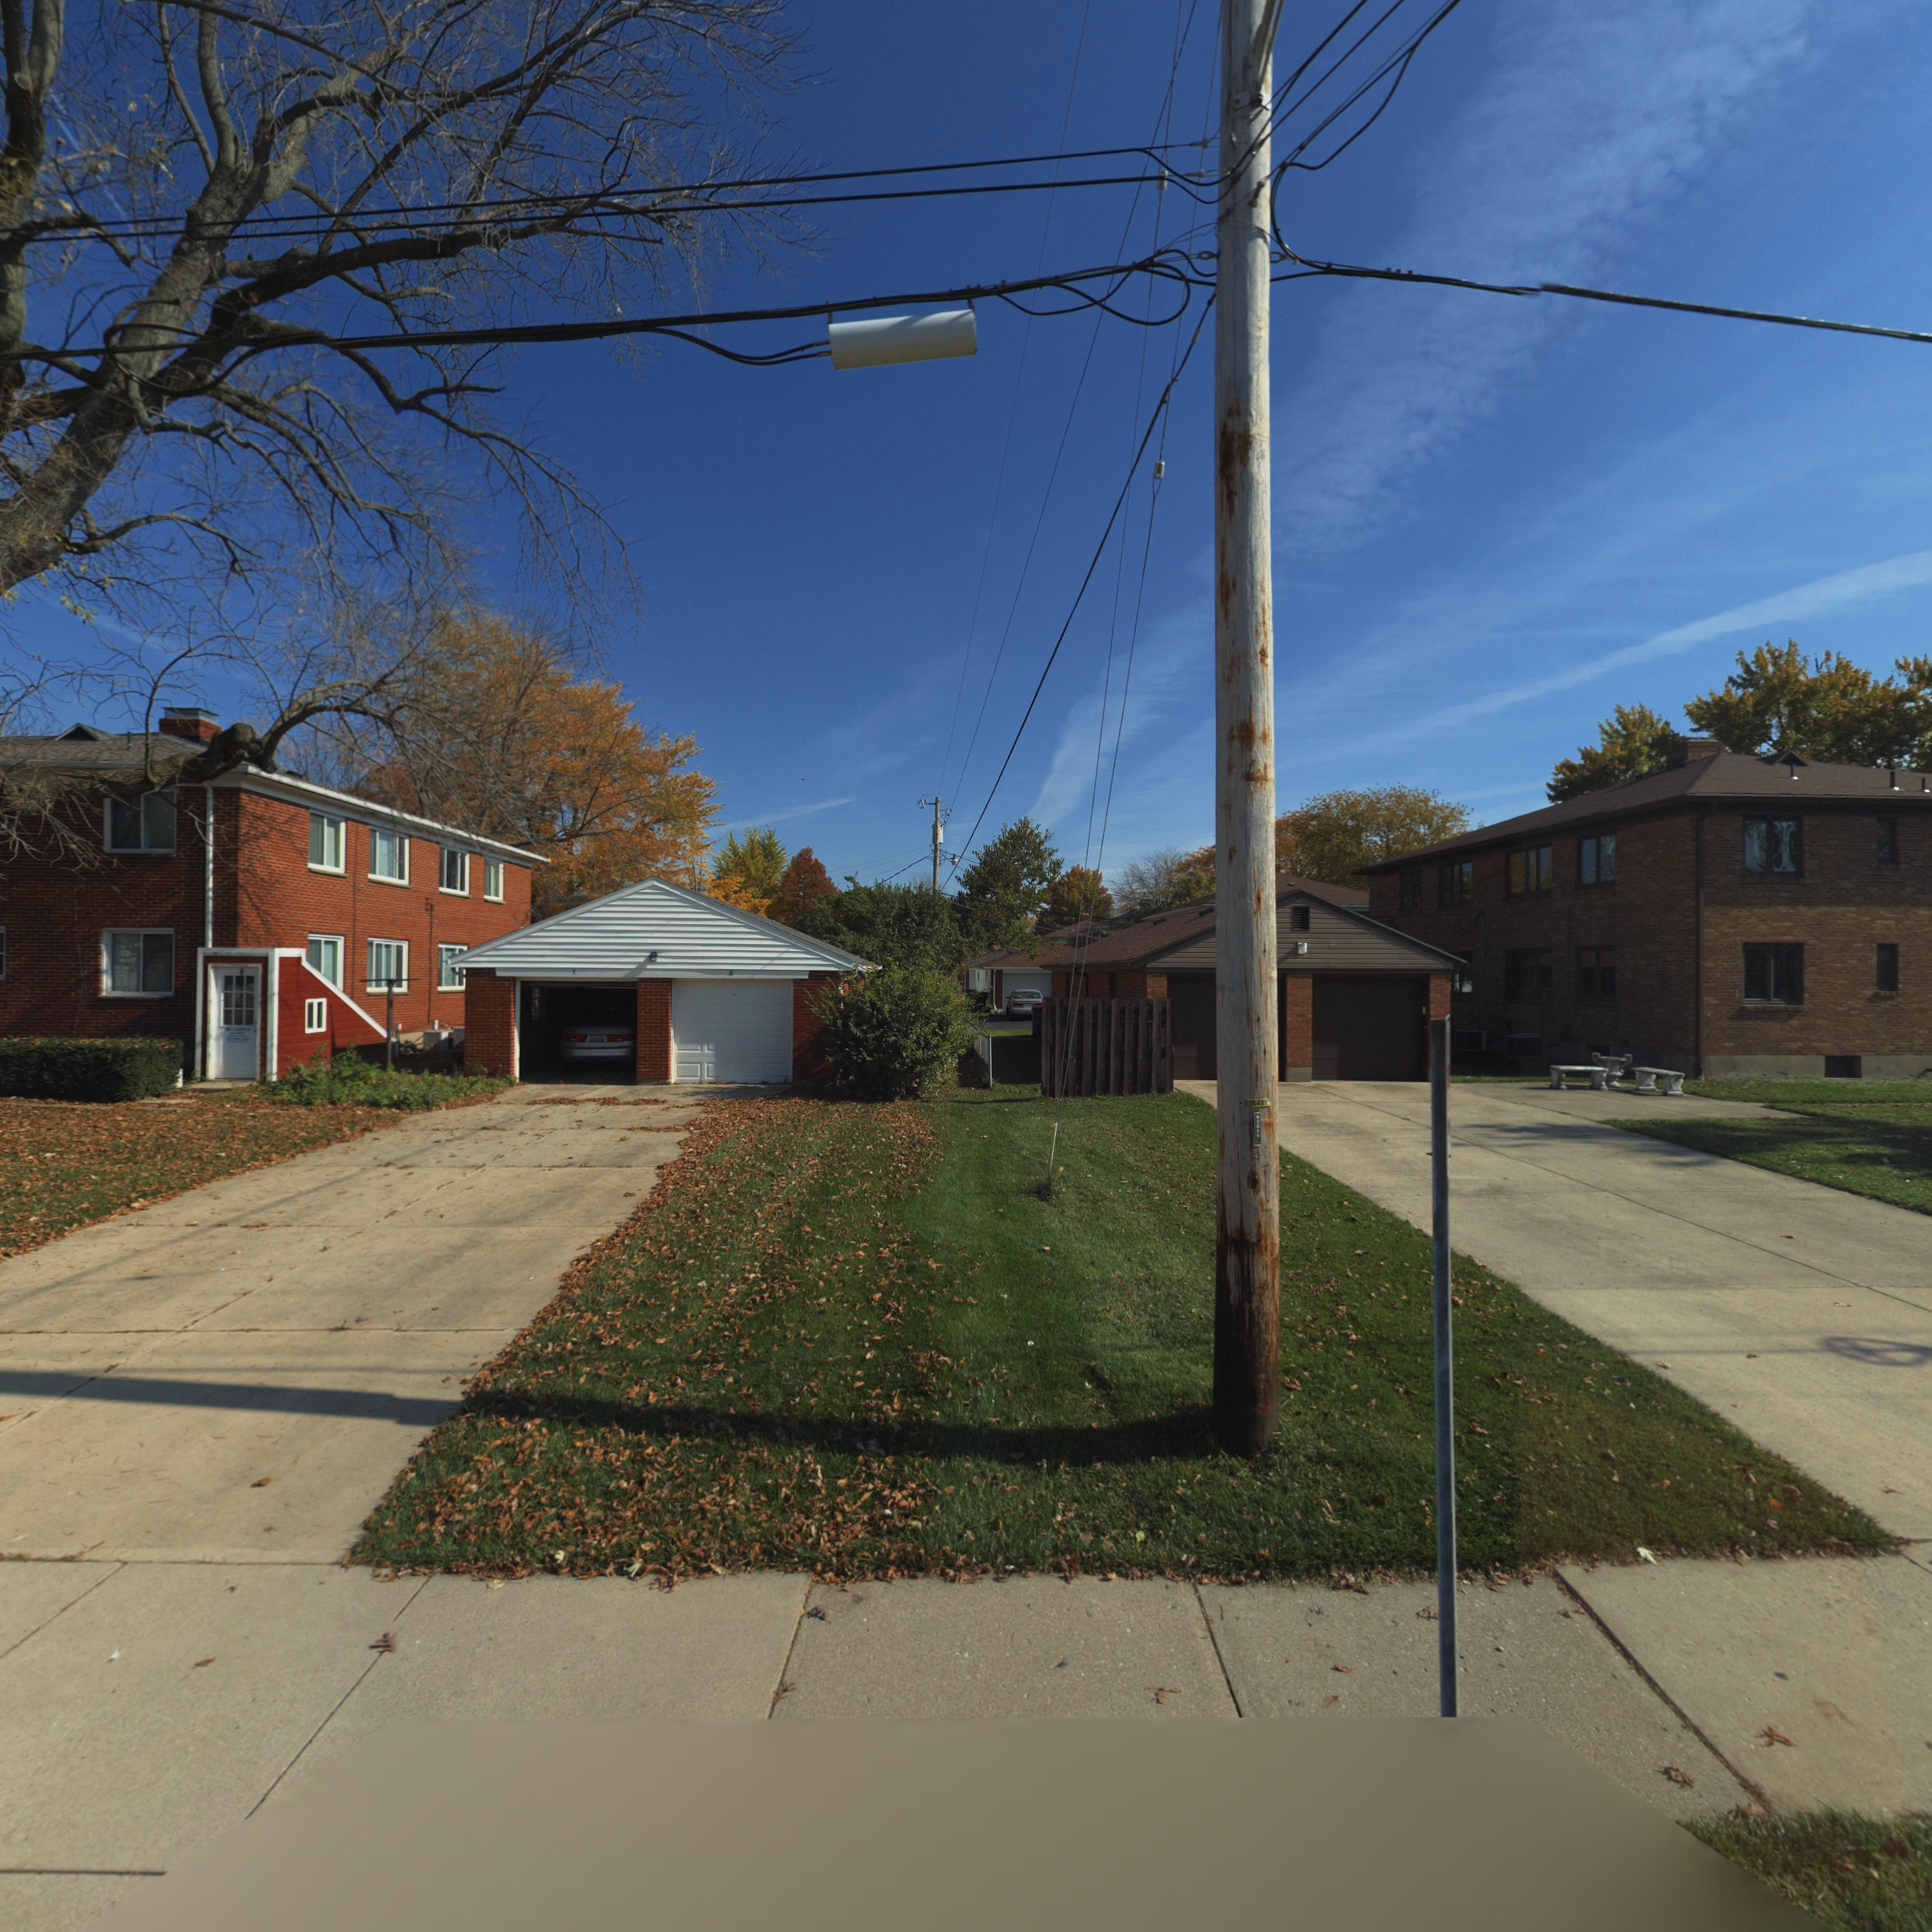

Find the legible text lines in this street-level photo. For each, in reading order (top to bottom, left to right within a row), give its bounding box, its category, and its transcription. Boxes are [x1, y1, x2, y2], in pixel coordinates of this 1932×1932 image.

[727, 970, 734, 977] StreetNumber: 4
[1244, 1100, 1267, 1106] None: 2*6482
[1255, 1114, 1260, 1139] None: 62859